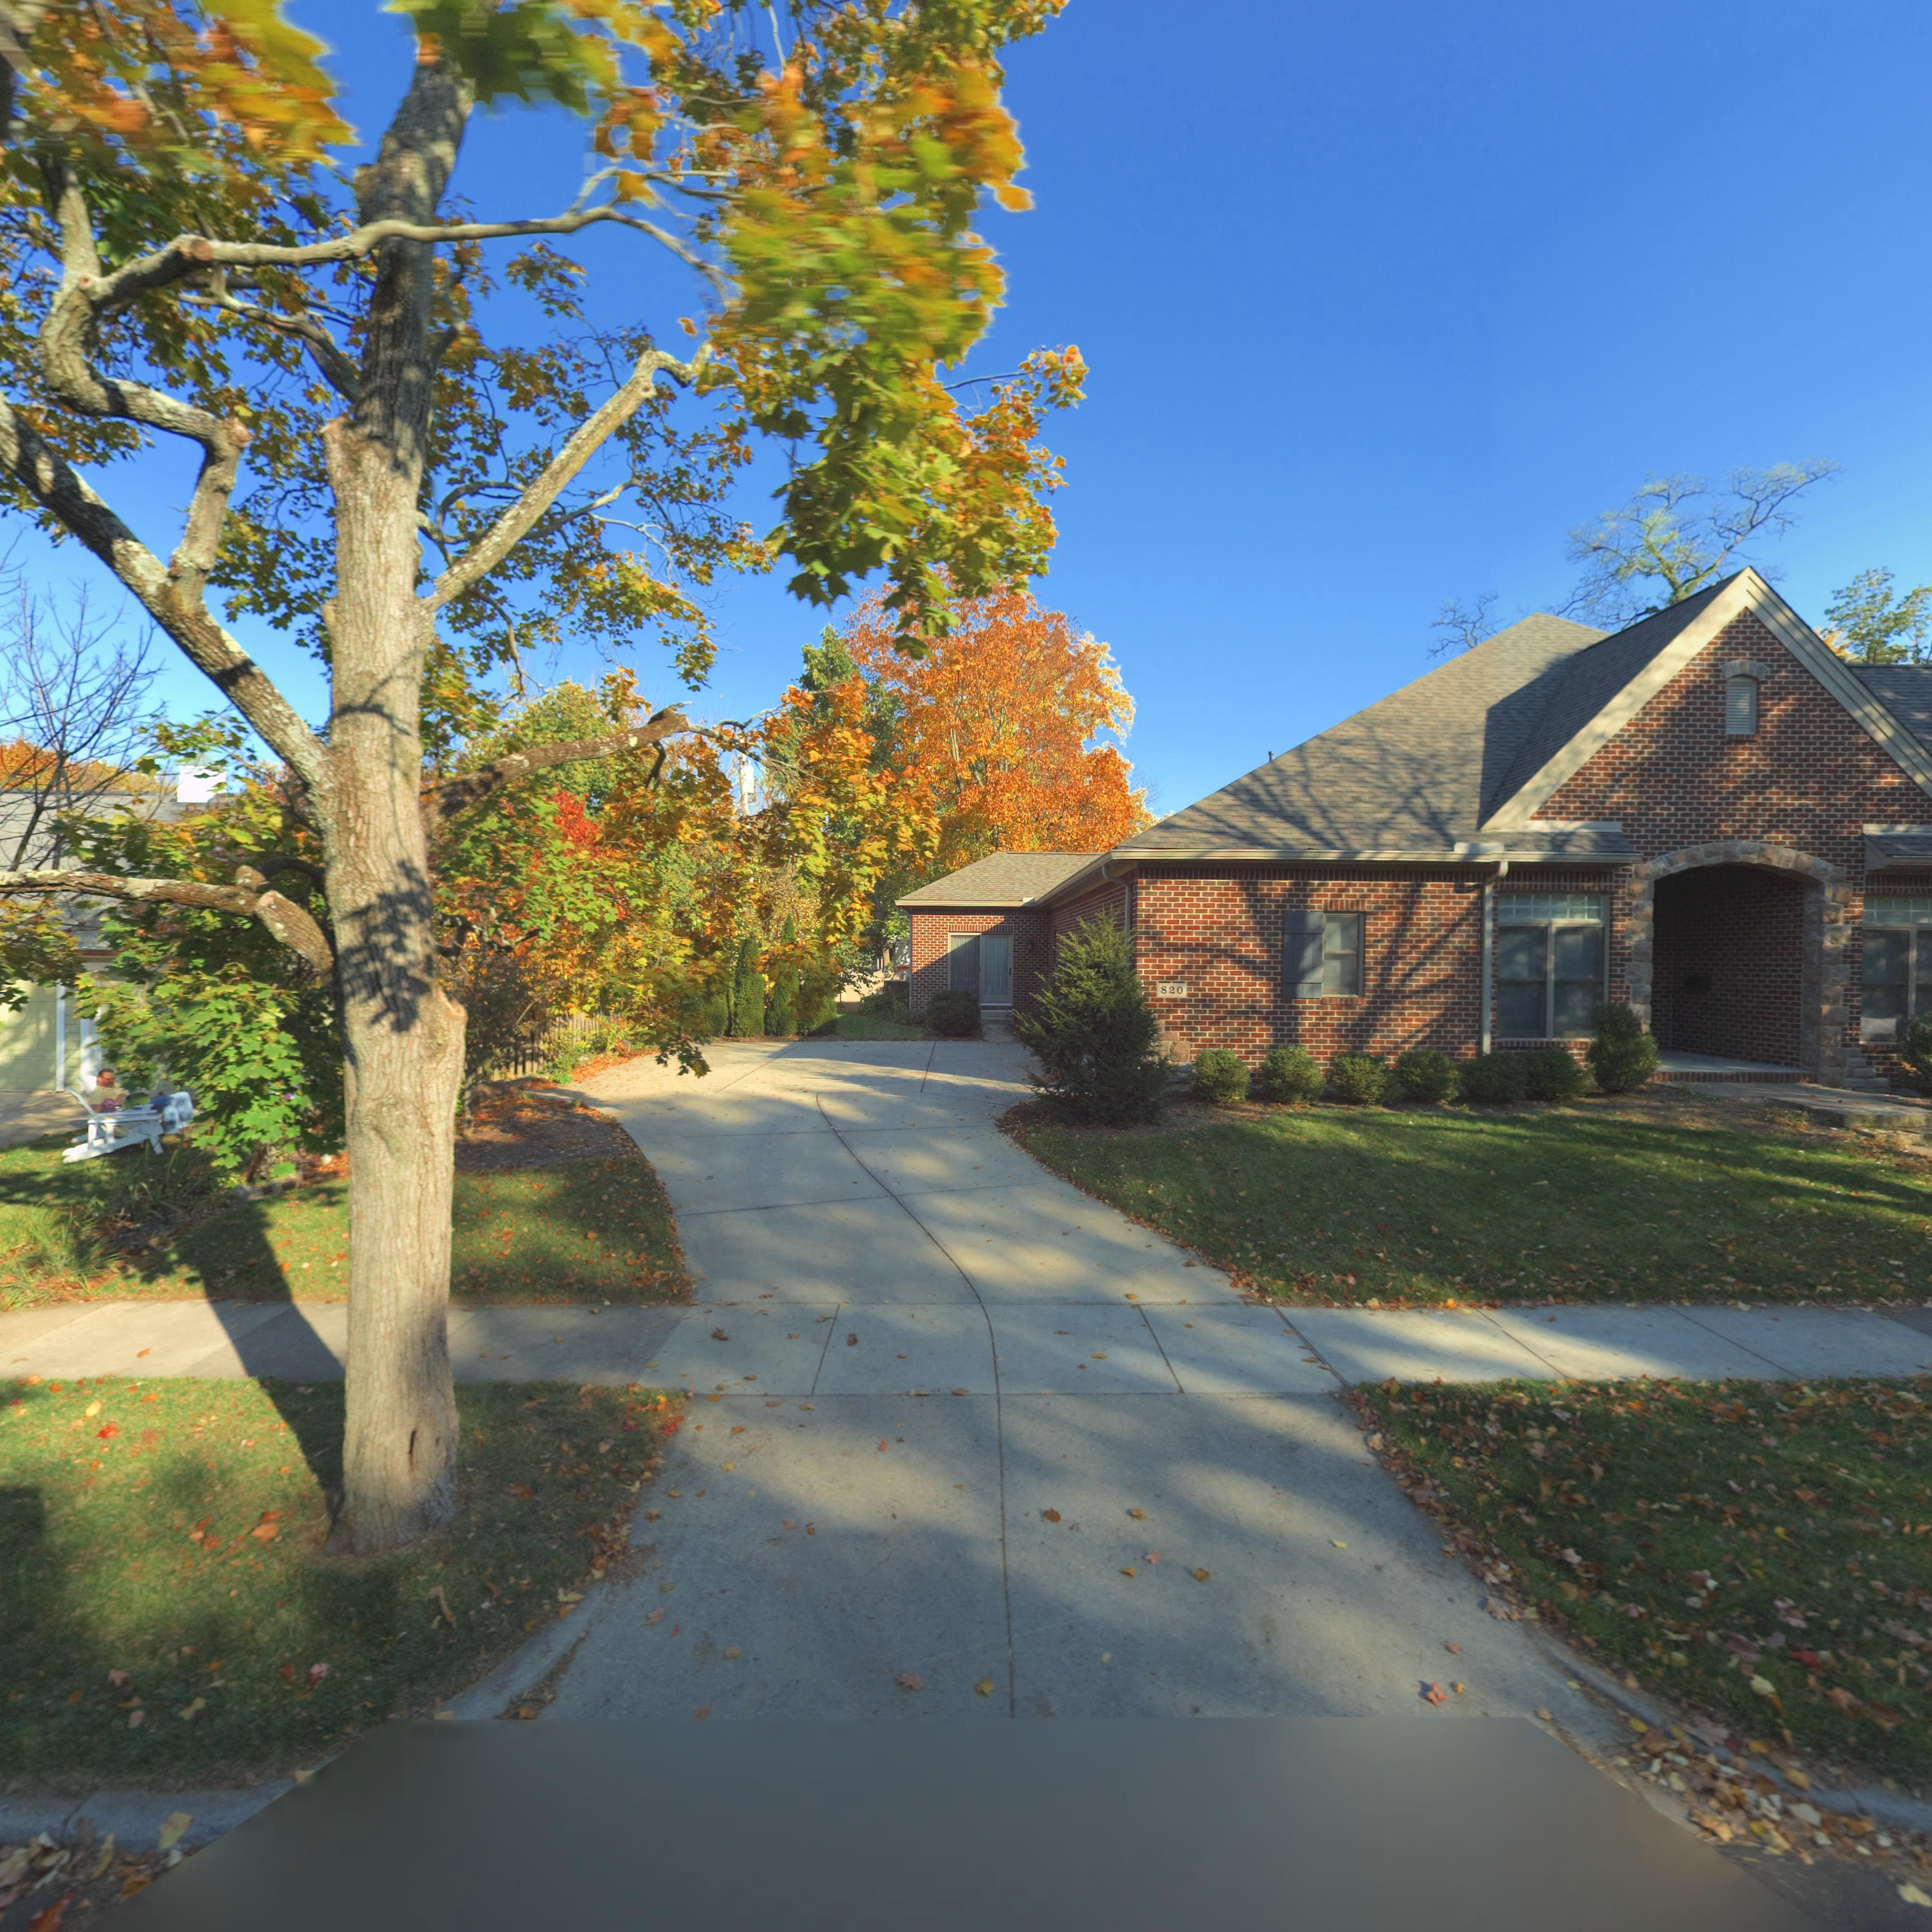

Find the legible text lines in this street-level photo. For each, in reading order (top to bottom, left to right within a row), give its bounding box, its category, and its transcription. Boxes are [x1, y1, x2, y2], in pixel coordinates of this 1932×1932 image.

[1160, 985, 1184, 995] StreetNumber: 820